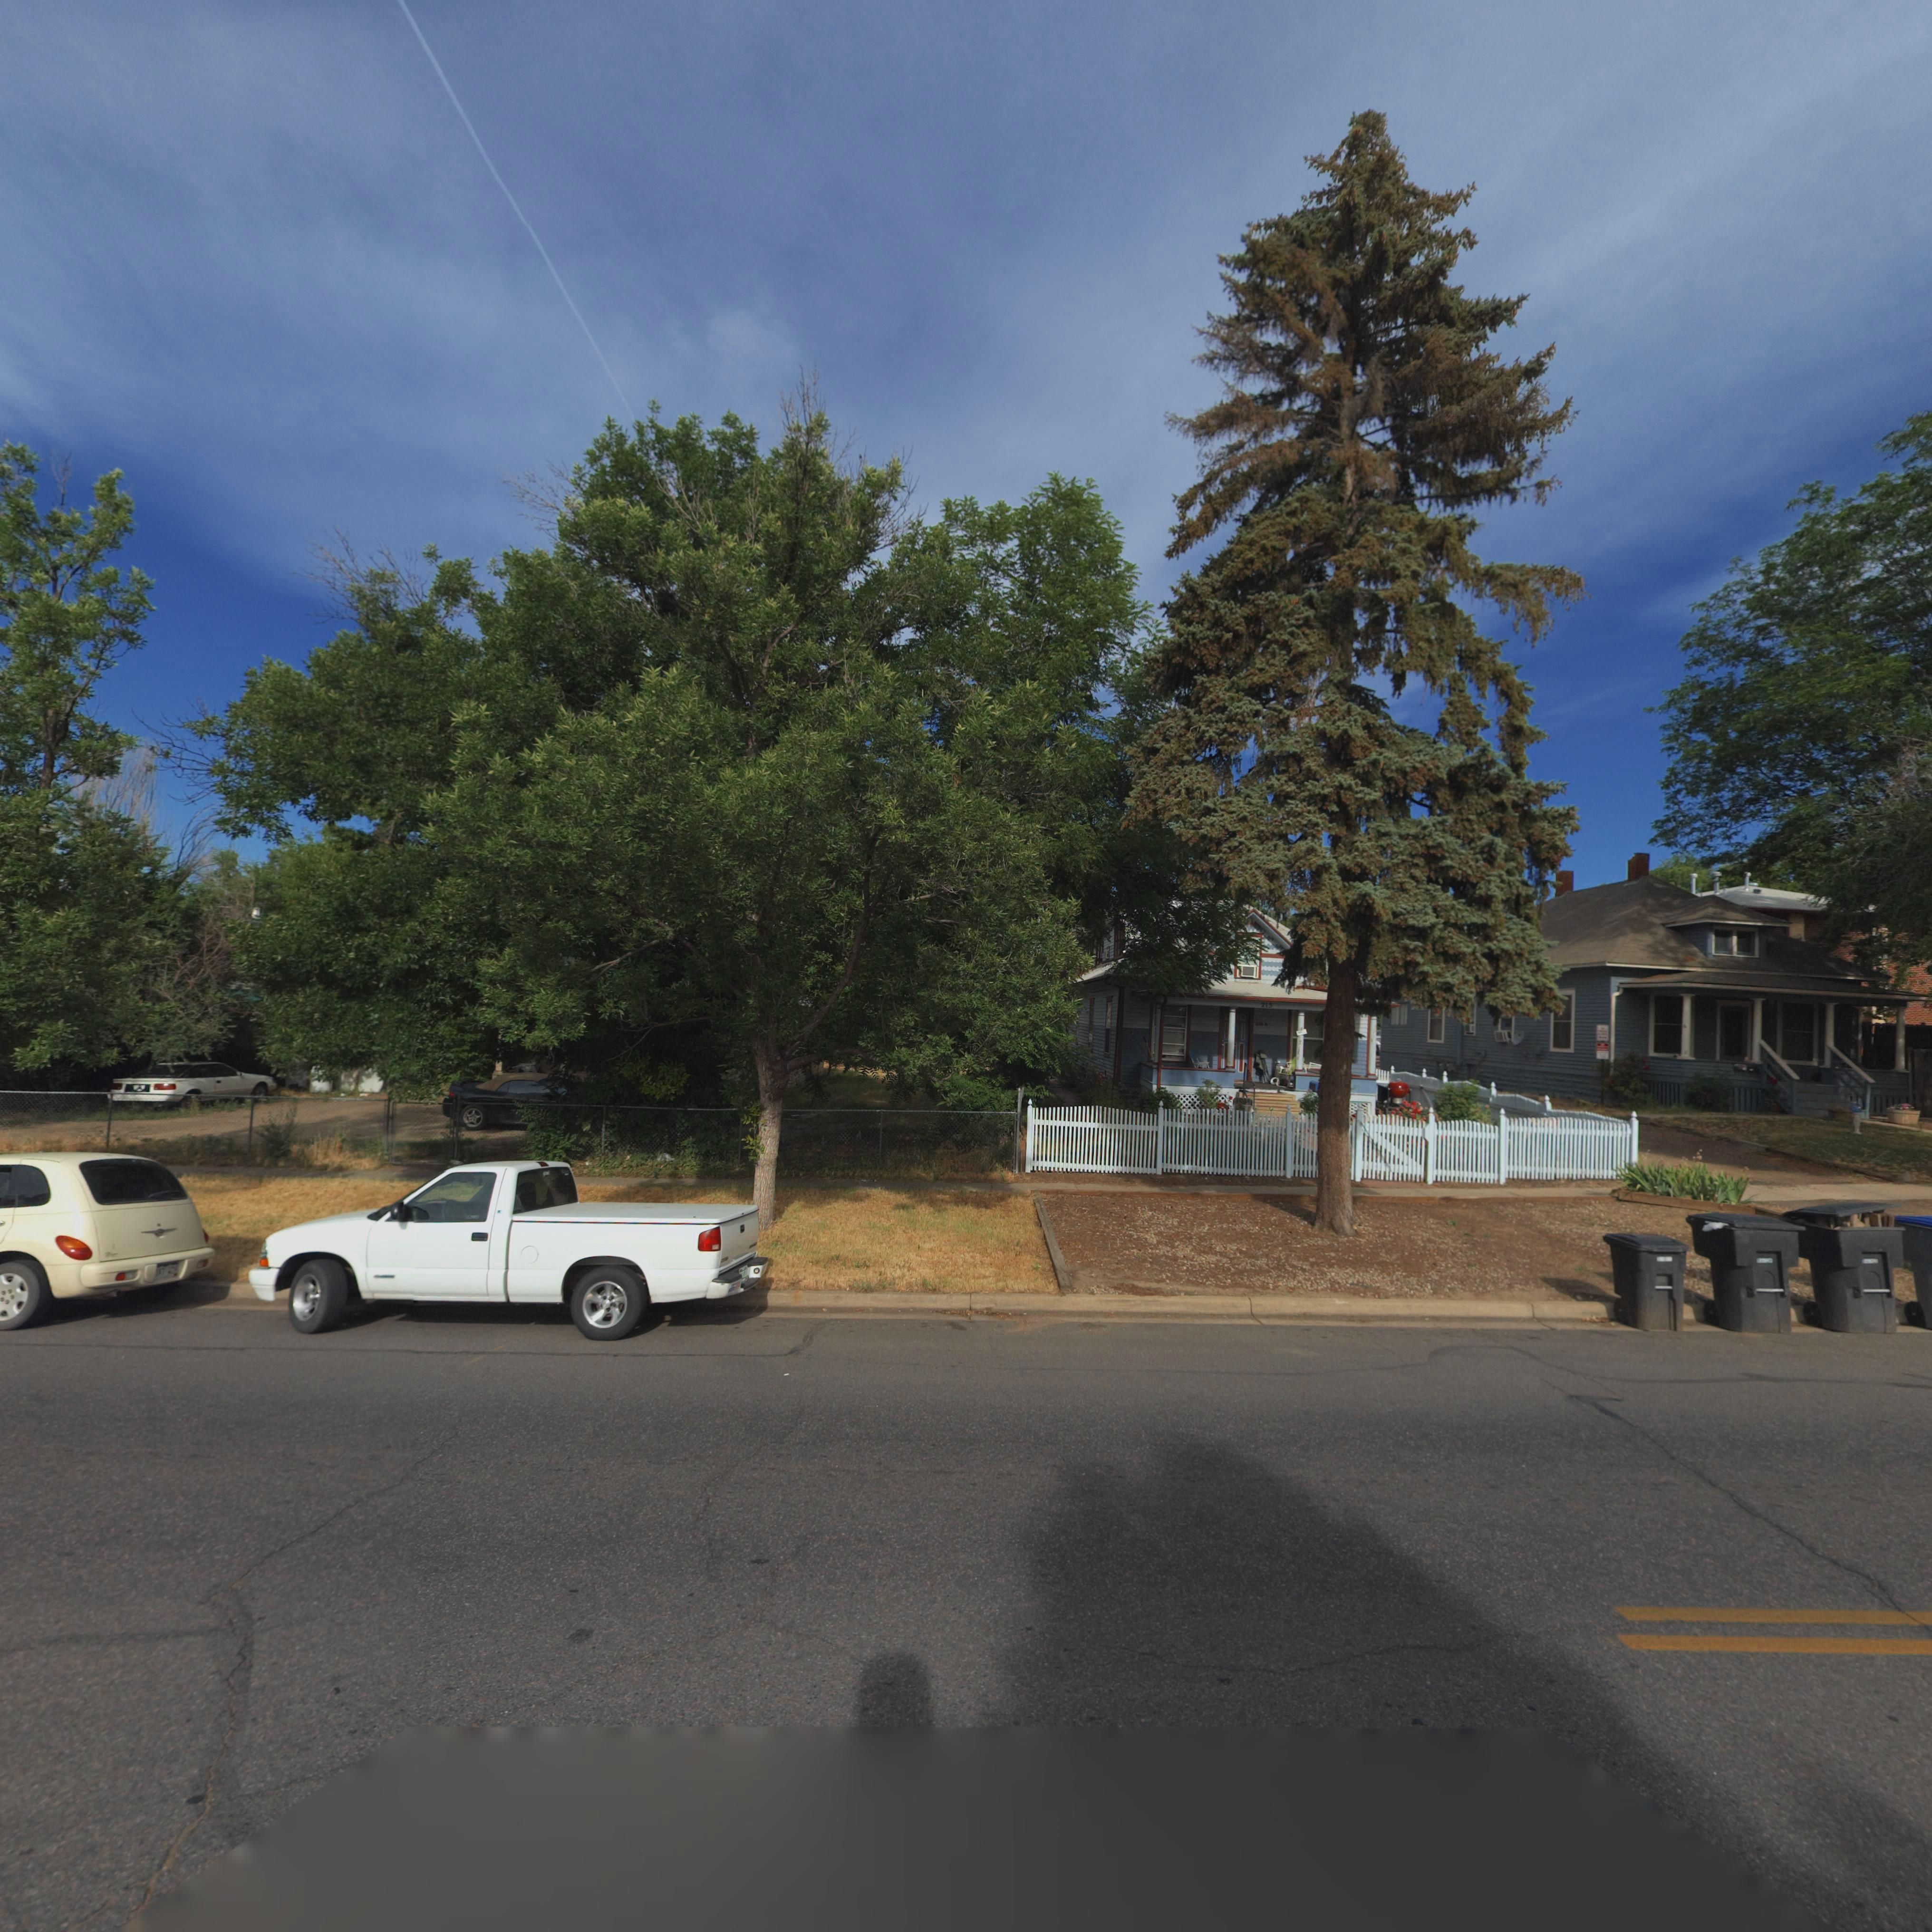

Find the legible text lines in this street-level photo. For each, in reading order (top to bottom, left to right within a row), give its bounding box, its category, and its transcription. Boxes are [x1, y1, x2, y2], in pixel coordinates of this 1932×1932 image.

[1261, 1002, 1273, 1008] StreetNumber: 215
[1255, 1022, 1268, 1026] StreetNumber: 21* A